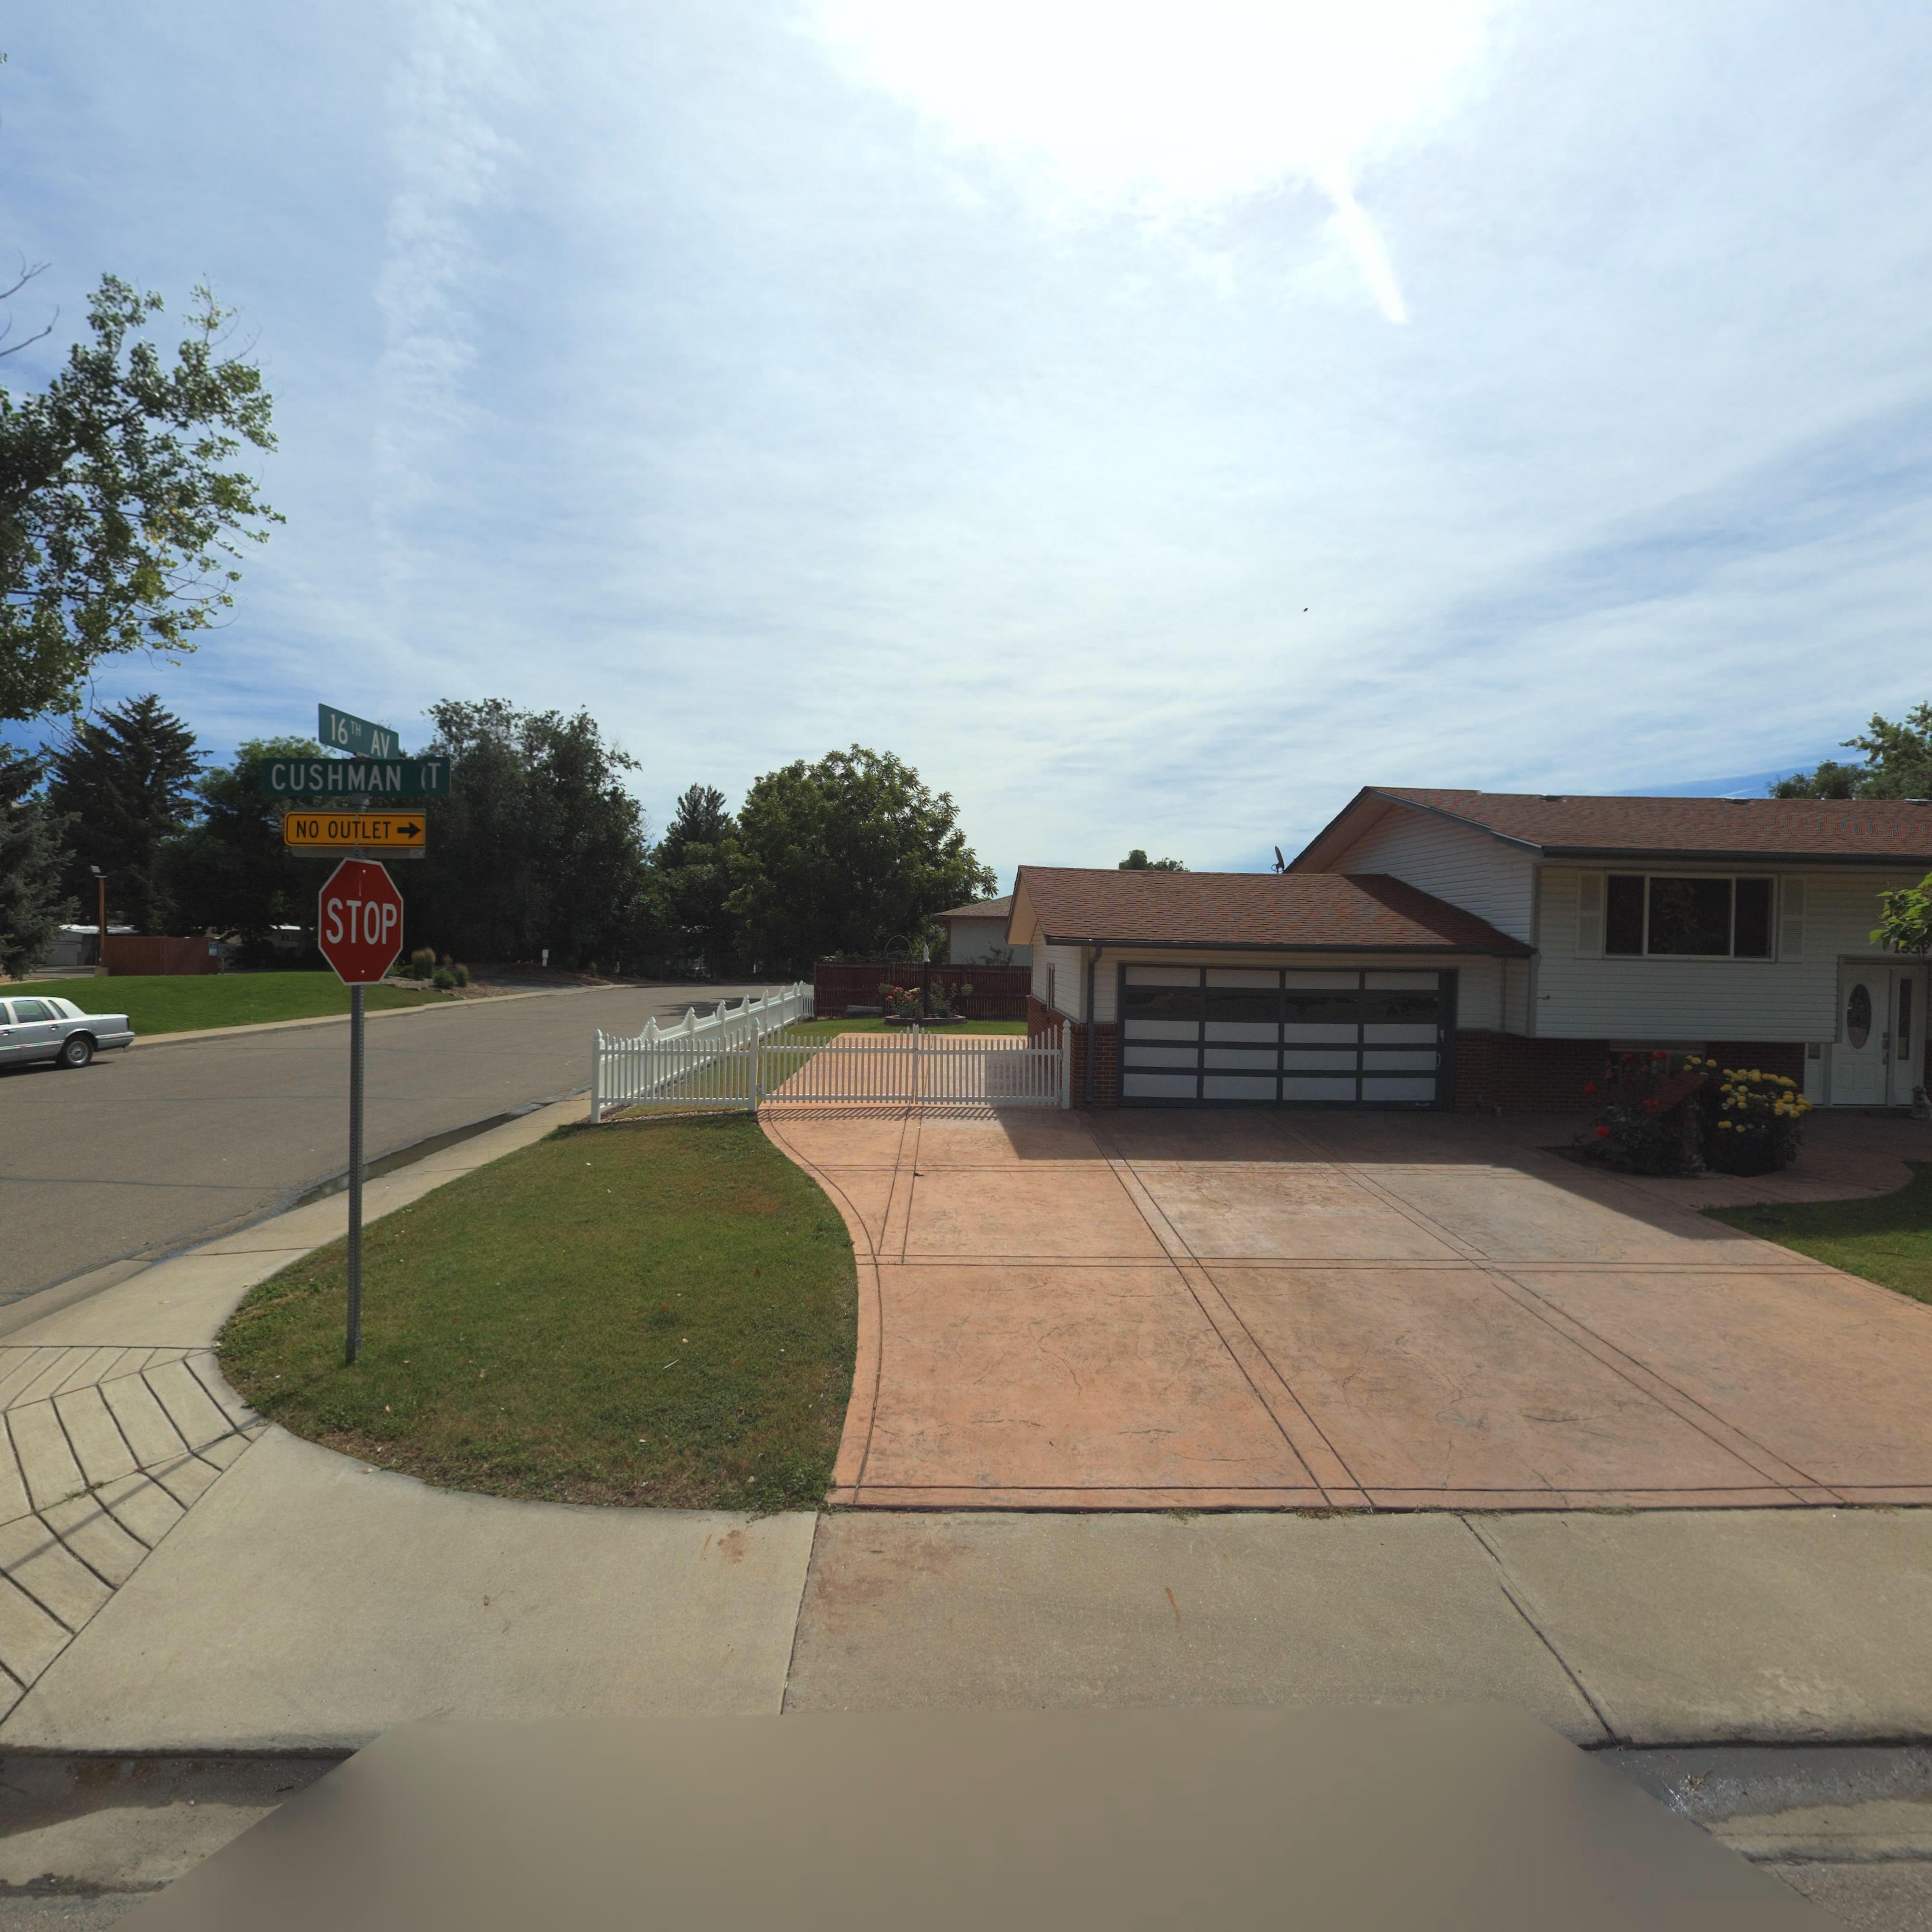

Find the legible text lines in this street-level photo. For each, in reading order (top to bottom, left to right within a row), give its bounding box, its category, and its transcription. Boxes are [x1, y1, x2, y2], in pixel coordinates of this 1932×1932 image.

[330, 713, 390, 759] StreetName: 16TH AV
[271, 762, 441, 792] StreetName: CUSHMAN *T
[1894, 941, 1931, 954] StreetNumber: 1***